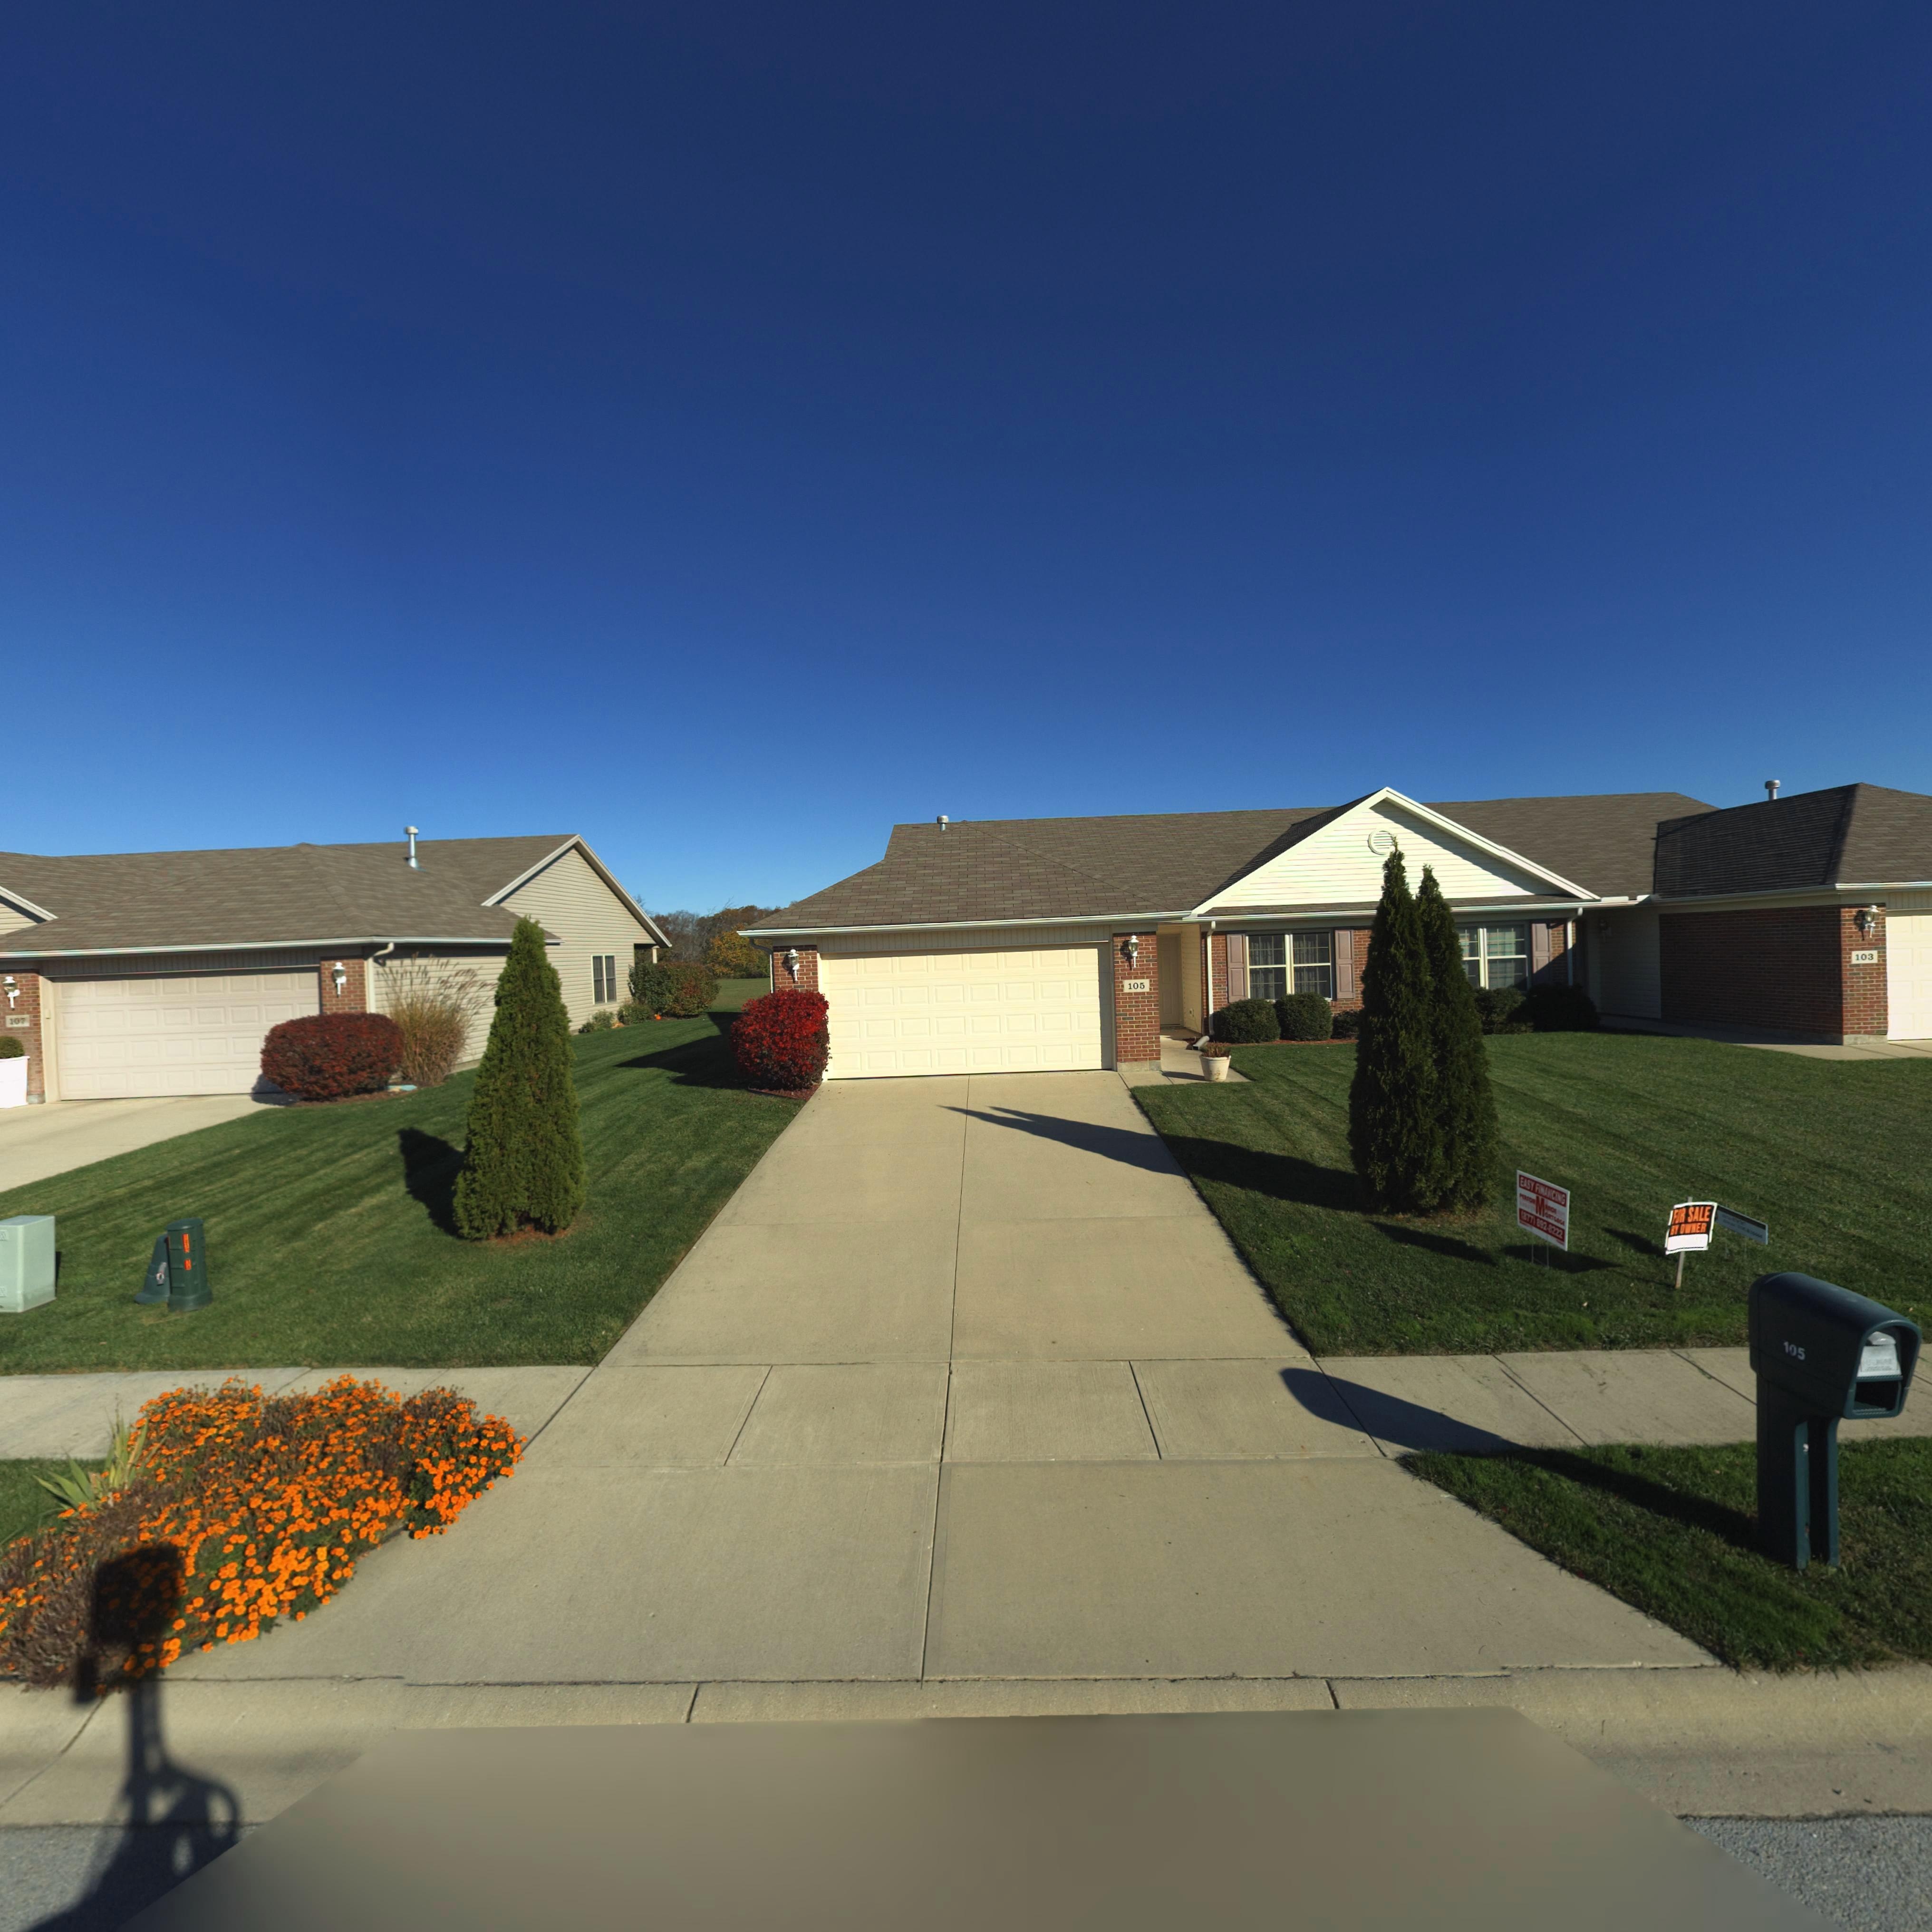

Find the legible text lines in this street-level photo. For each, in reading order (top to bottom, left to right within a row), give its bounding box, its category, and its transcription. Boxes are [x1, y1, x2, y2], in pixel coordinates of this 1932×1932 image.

[1127, 981, 1146, 990] StreetNumber: 105
[8, 1016, 28, 1026] StreetNumber: 107
[1782, 1340, 1807, 1362] StreetNumber: 105